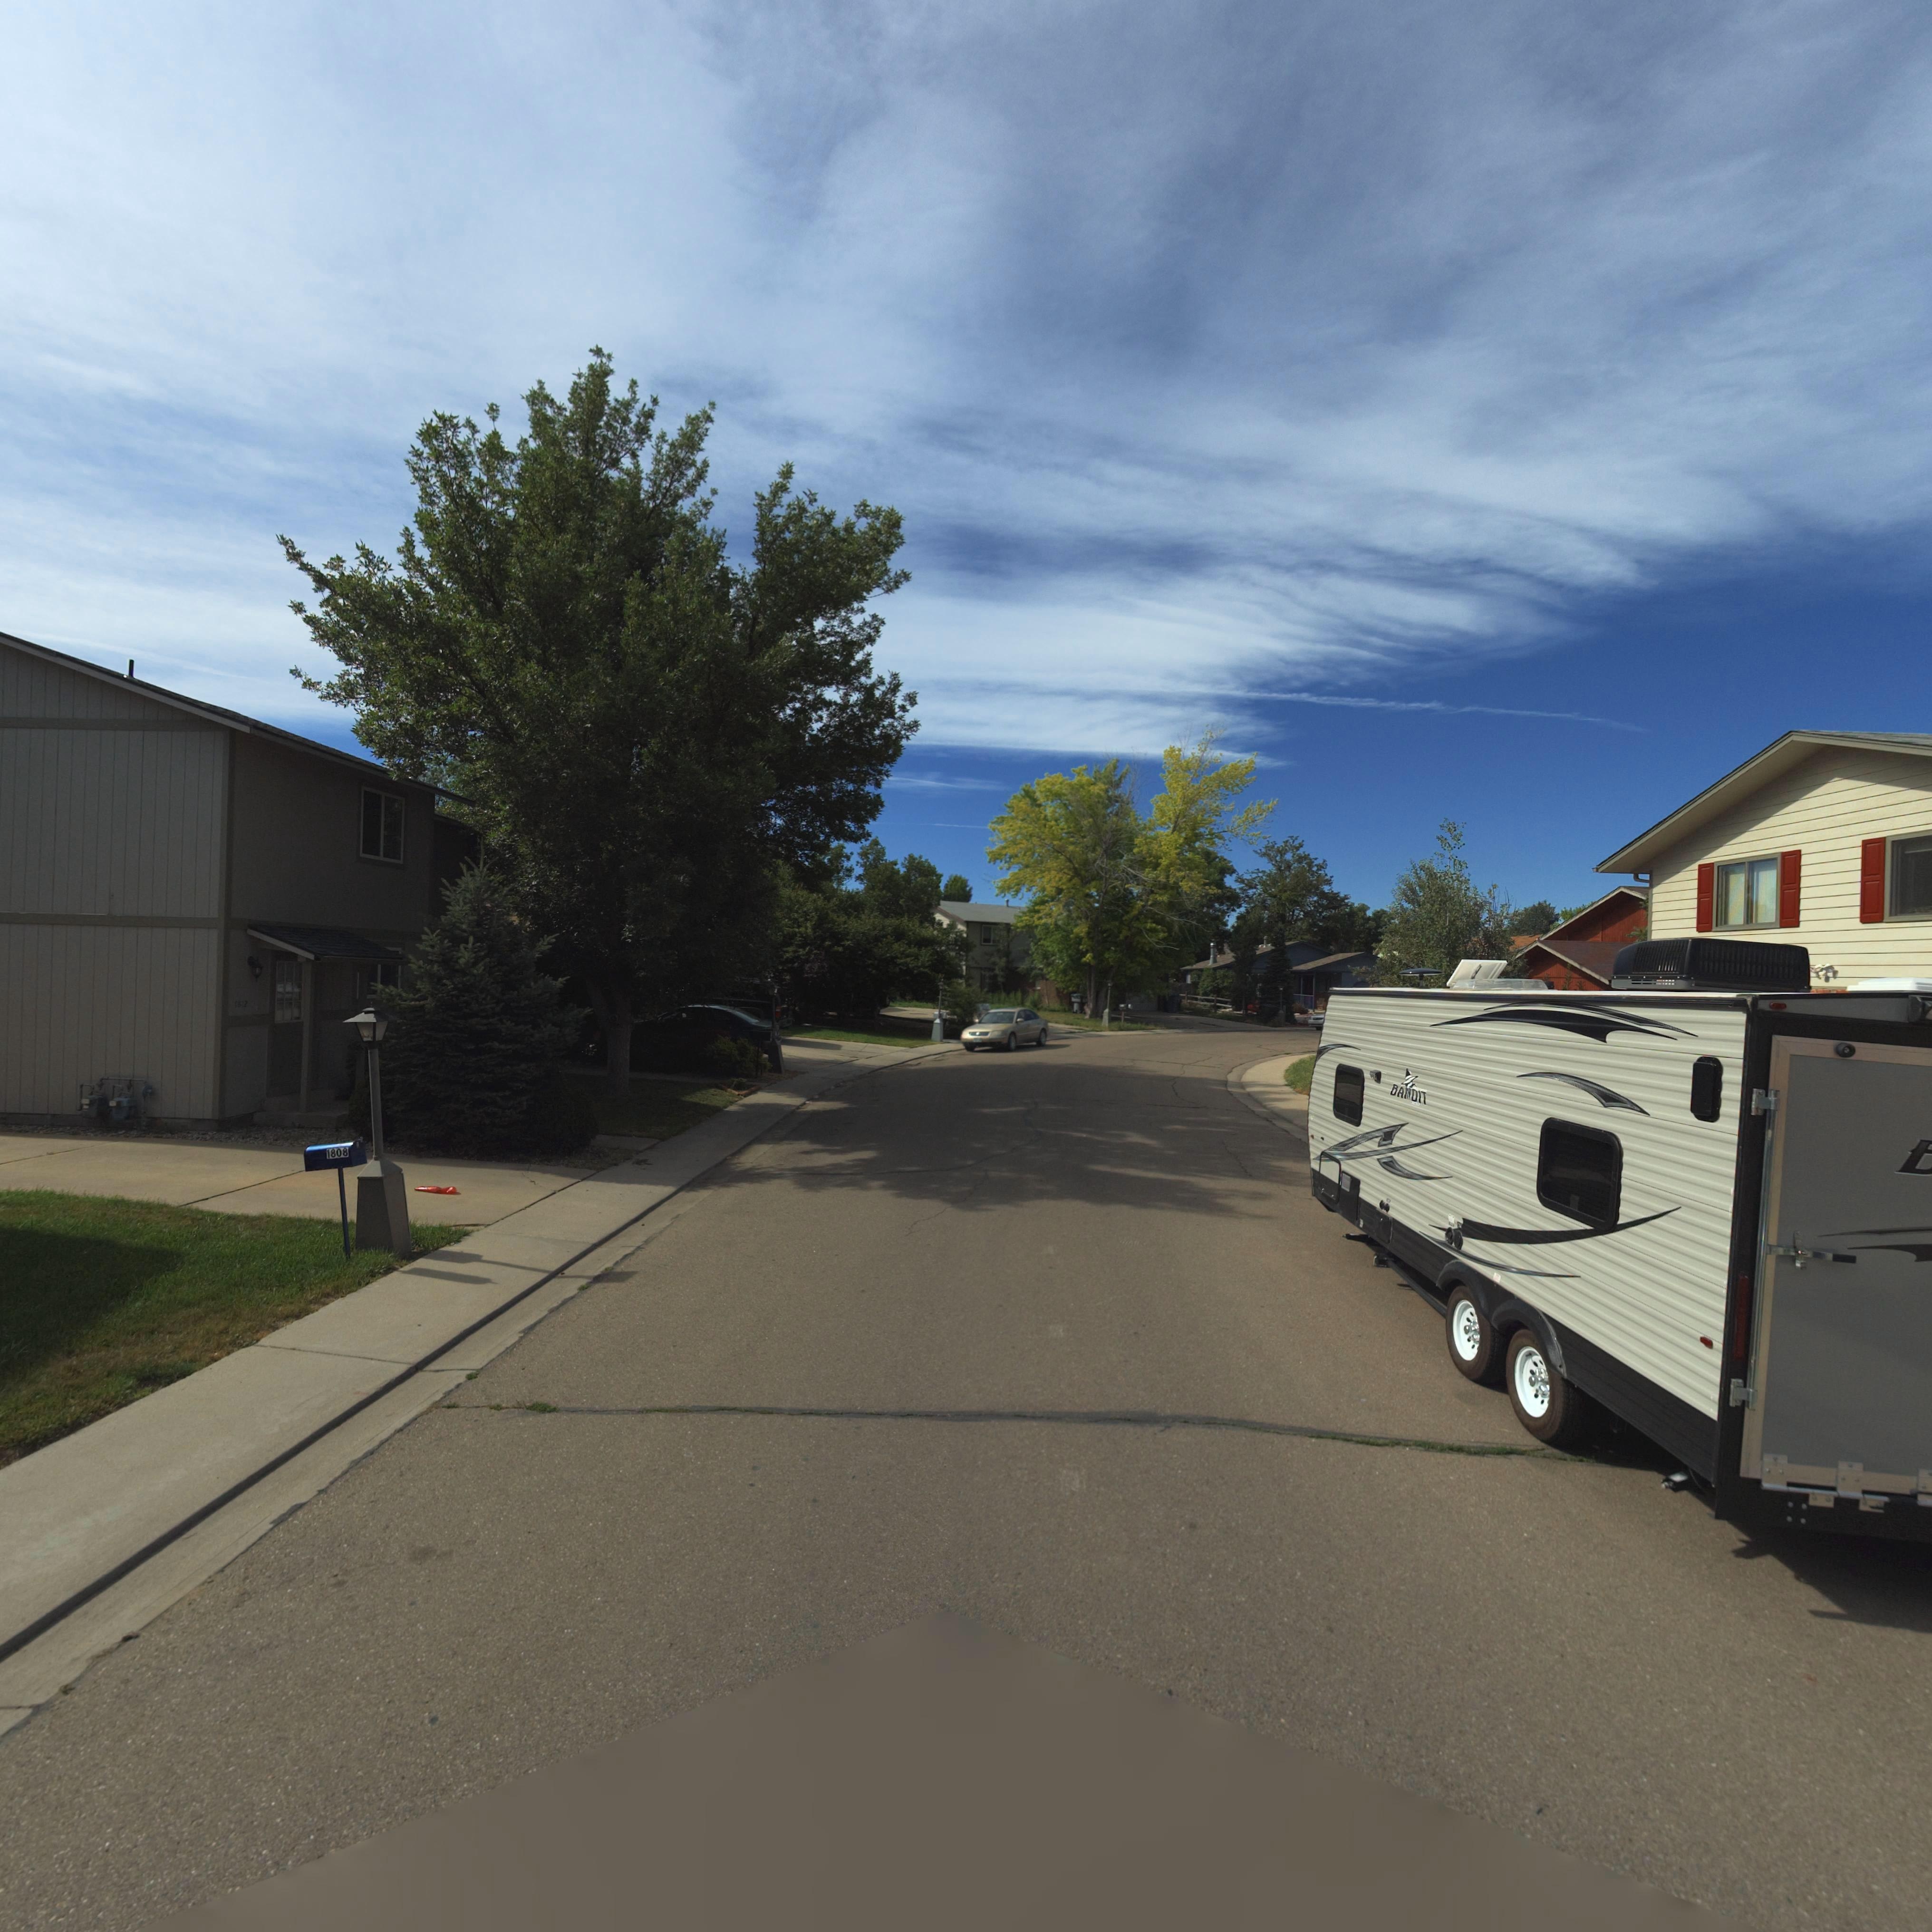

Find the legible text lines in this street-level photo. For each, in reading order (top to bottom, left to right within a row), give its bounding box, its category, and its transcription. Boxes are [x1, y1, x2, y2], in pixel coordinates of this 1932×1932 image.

[234, 999, 248, 1008] StreetNumber: 1812
[326, 1147, 348, 1159] StreetNumber: 1808